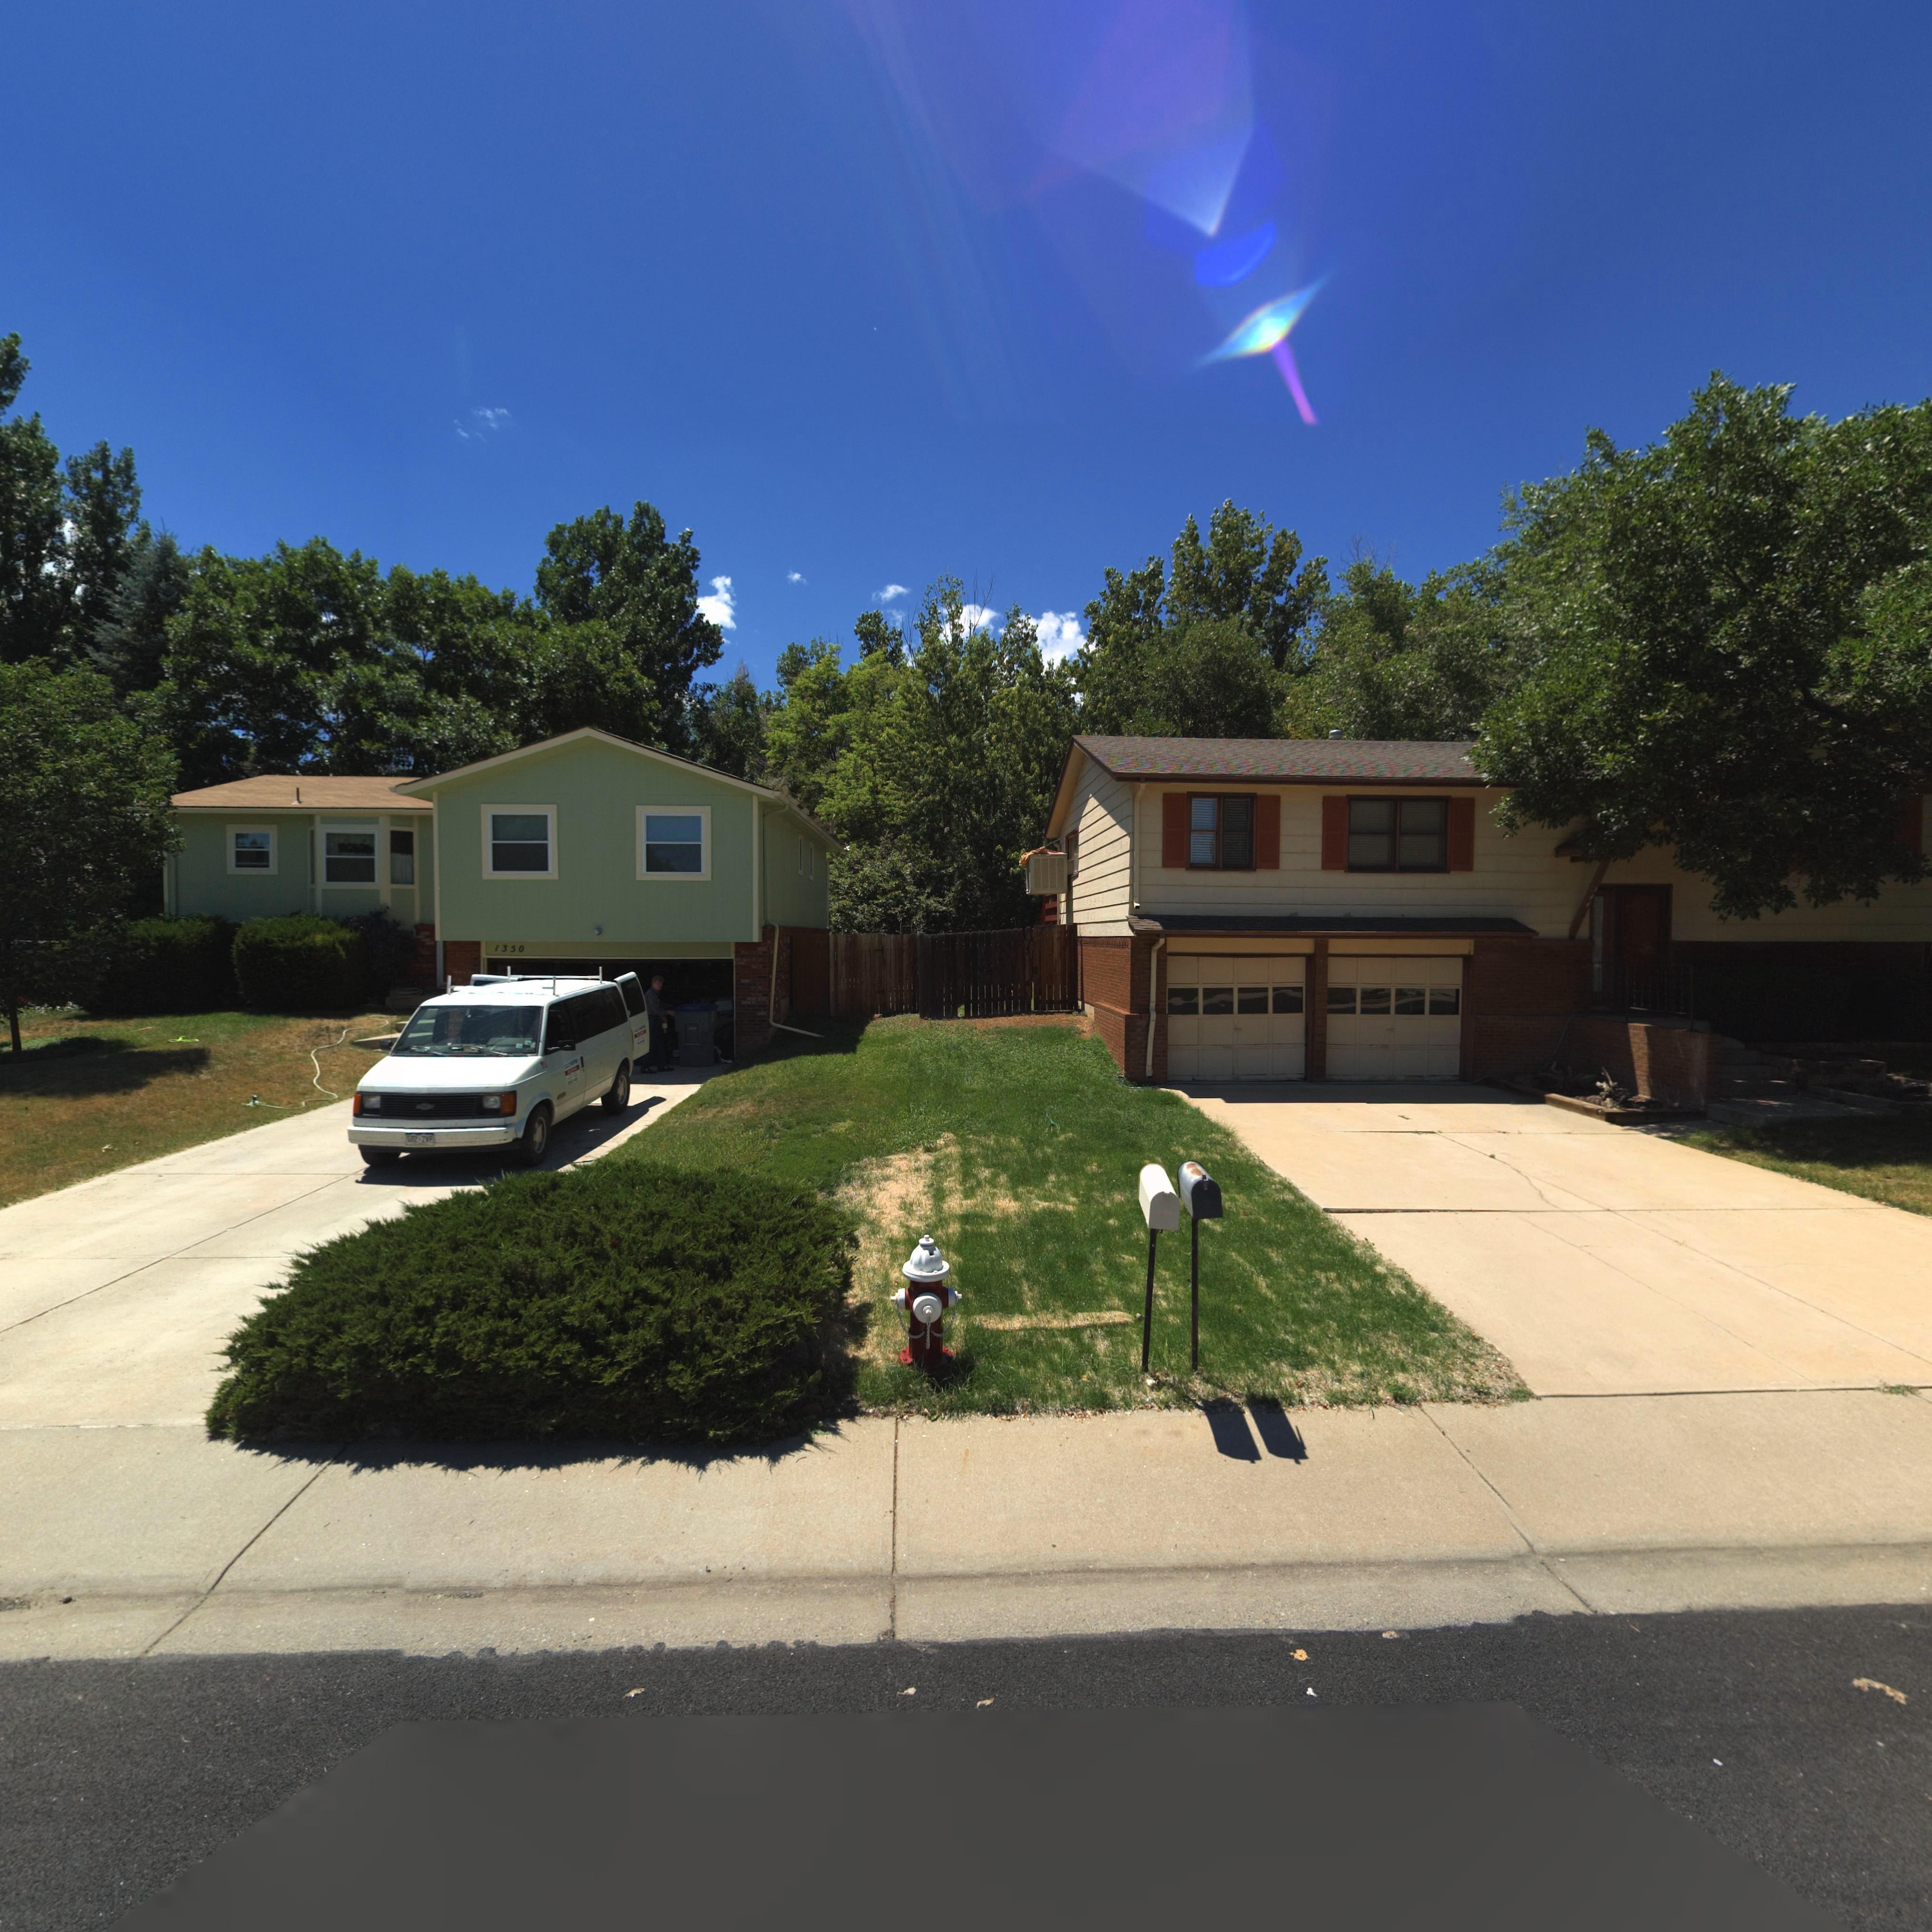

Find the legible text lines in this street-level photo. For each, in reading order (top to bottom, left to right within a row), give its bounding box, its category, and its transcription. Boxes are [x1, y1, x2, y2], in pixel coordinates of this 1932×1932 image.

[493, 944, 525, 953] StreetNumber: 1350